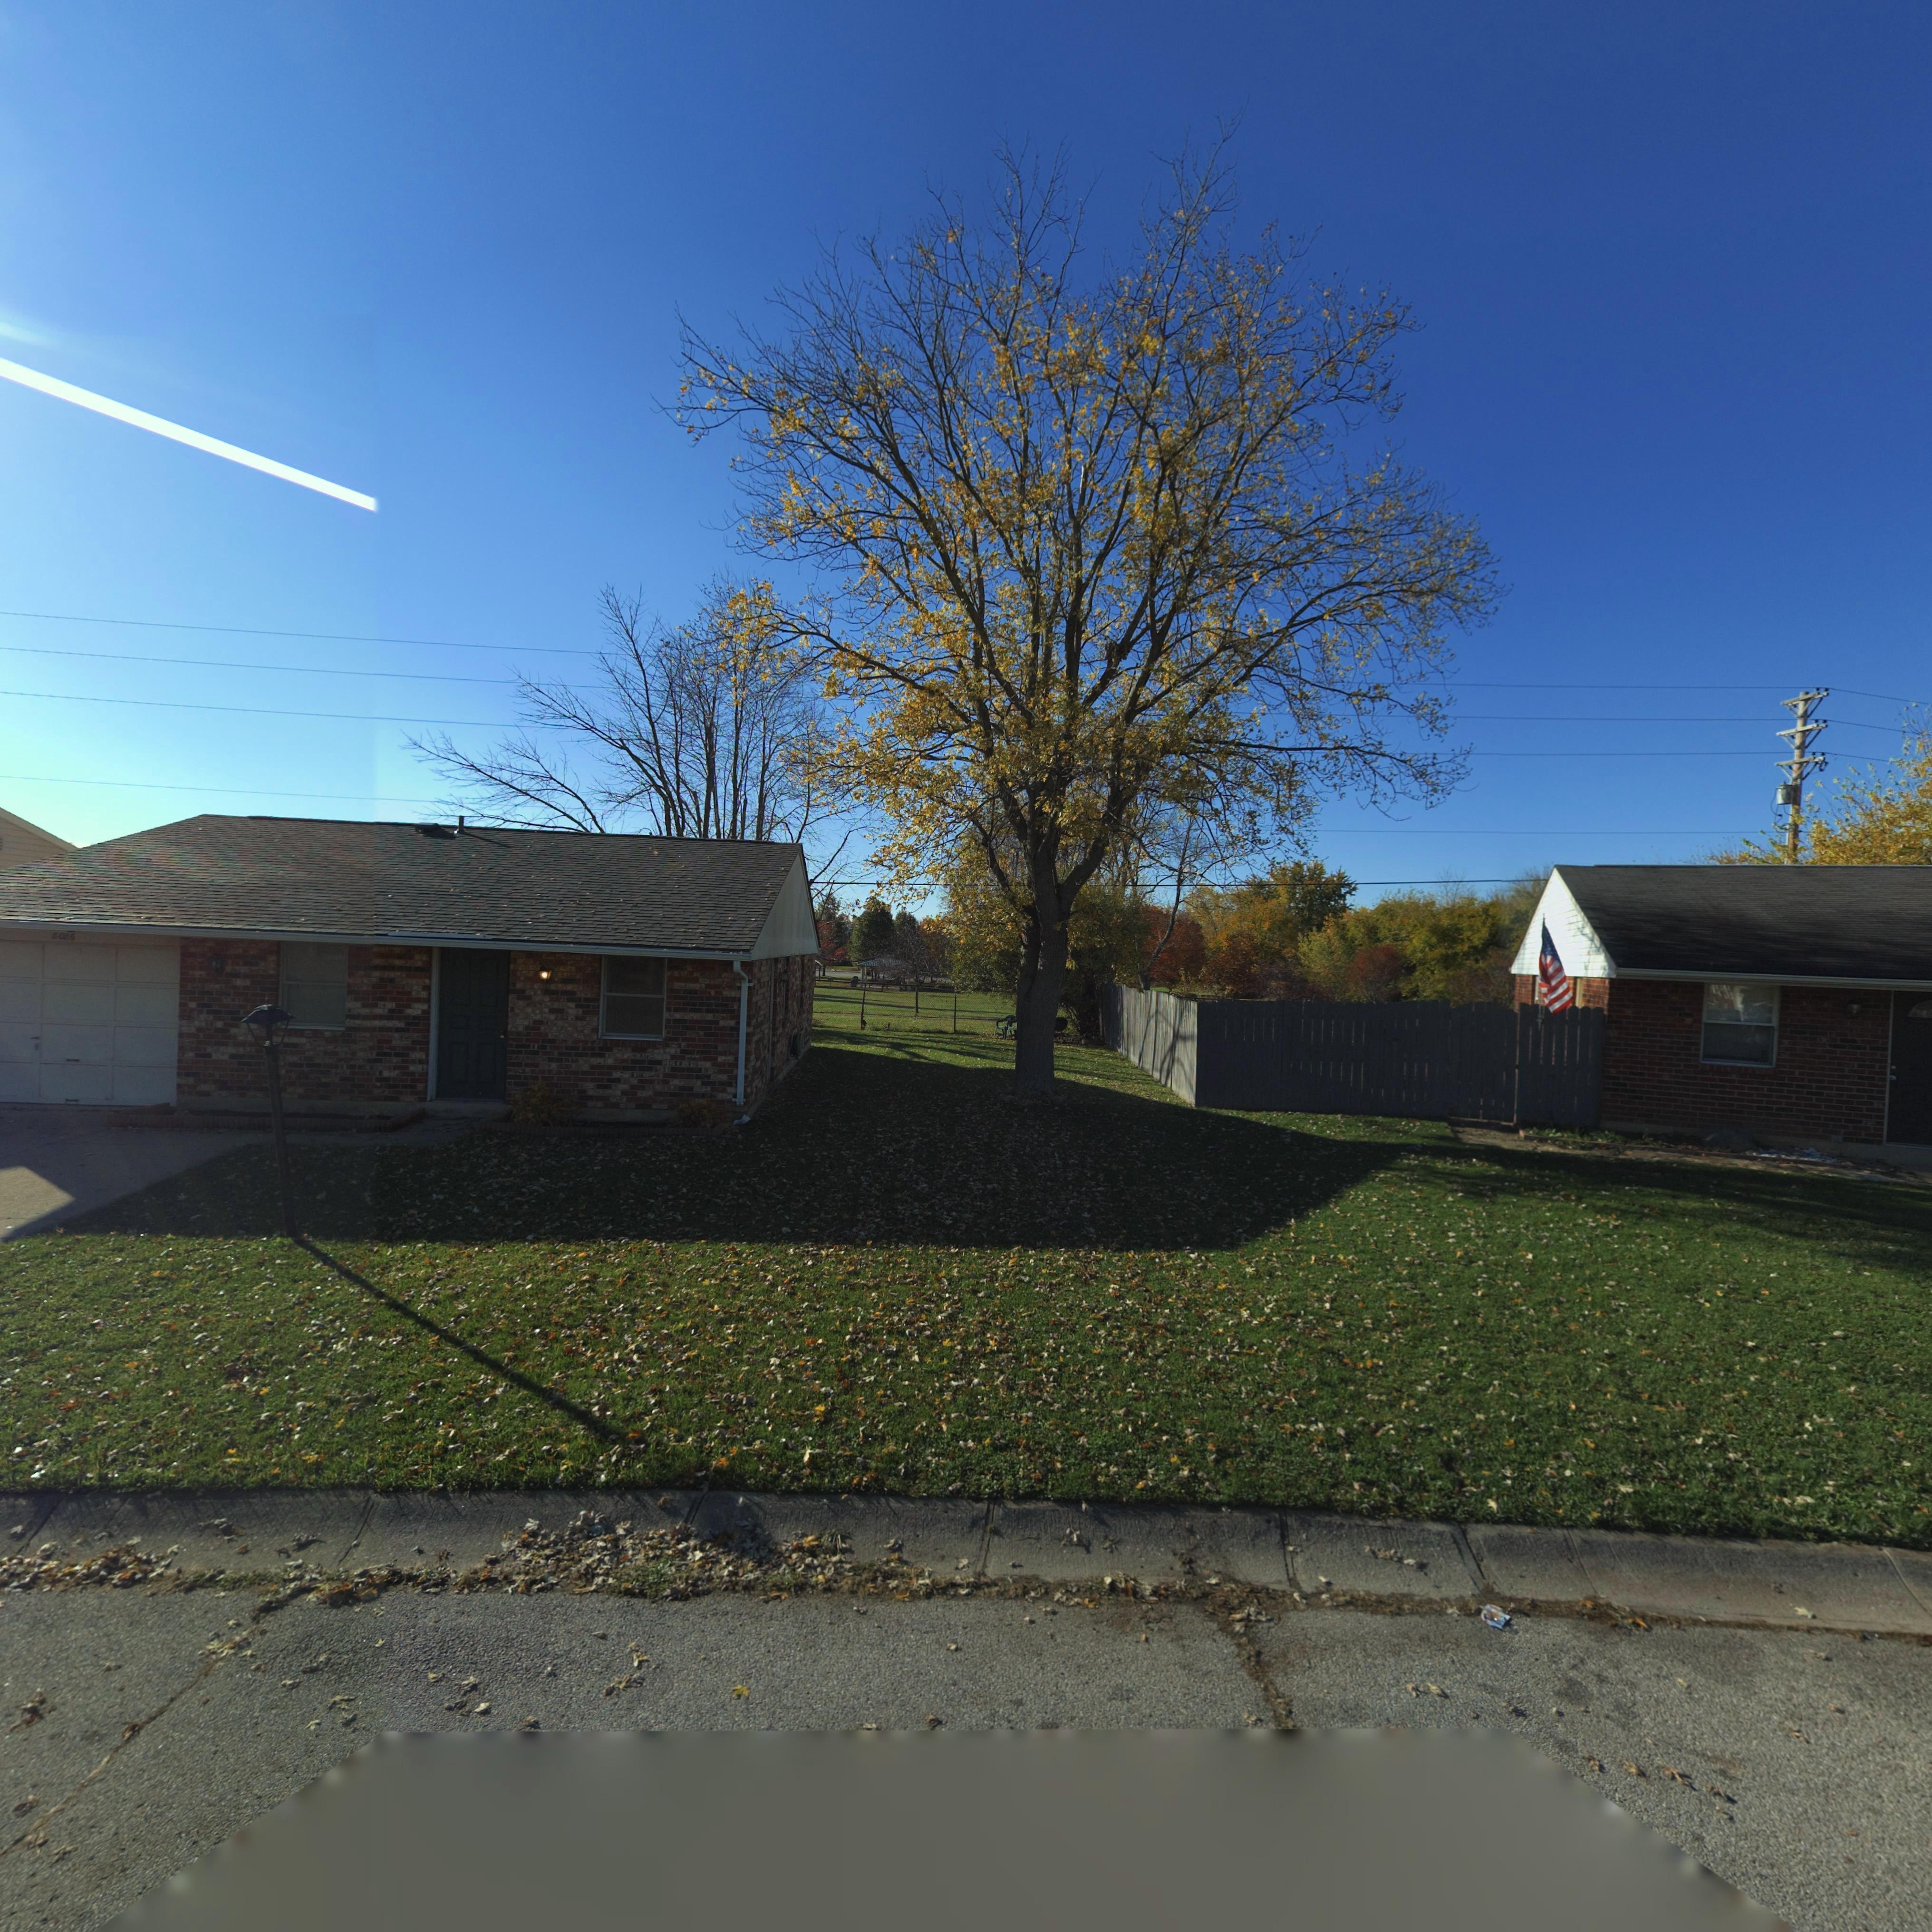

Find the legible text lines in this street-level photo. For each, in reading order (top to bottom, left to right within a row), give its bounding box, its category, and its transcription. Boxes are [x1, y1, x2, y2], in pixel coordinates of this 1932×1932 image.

[51, 931, 77, 942] StreetNumber: 8086